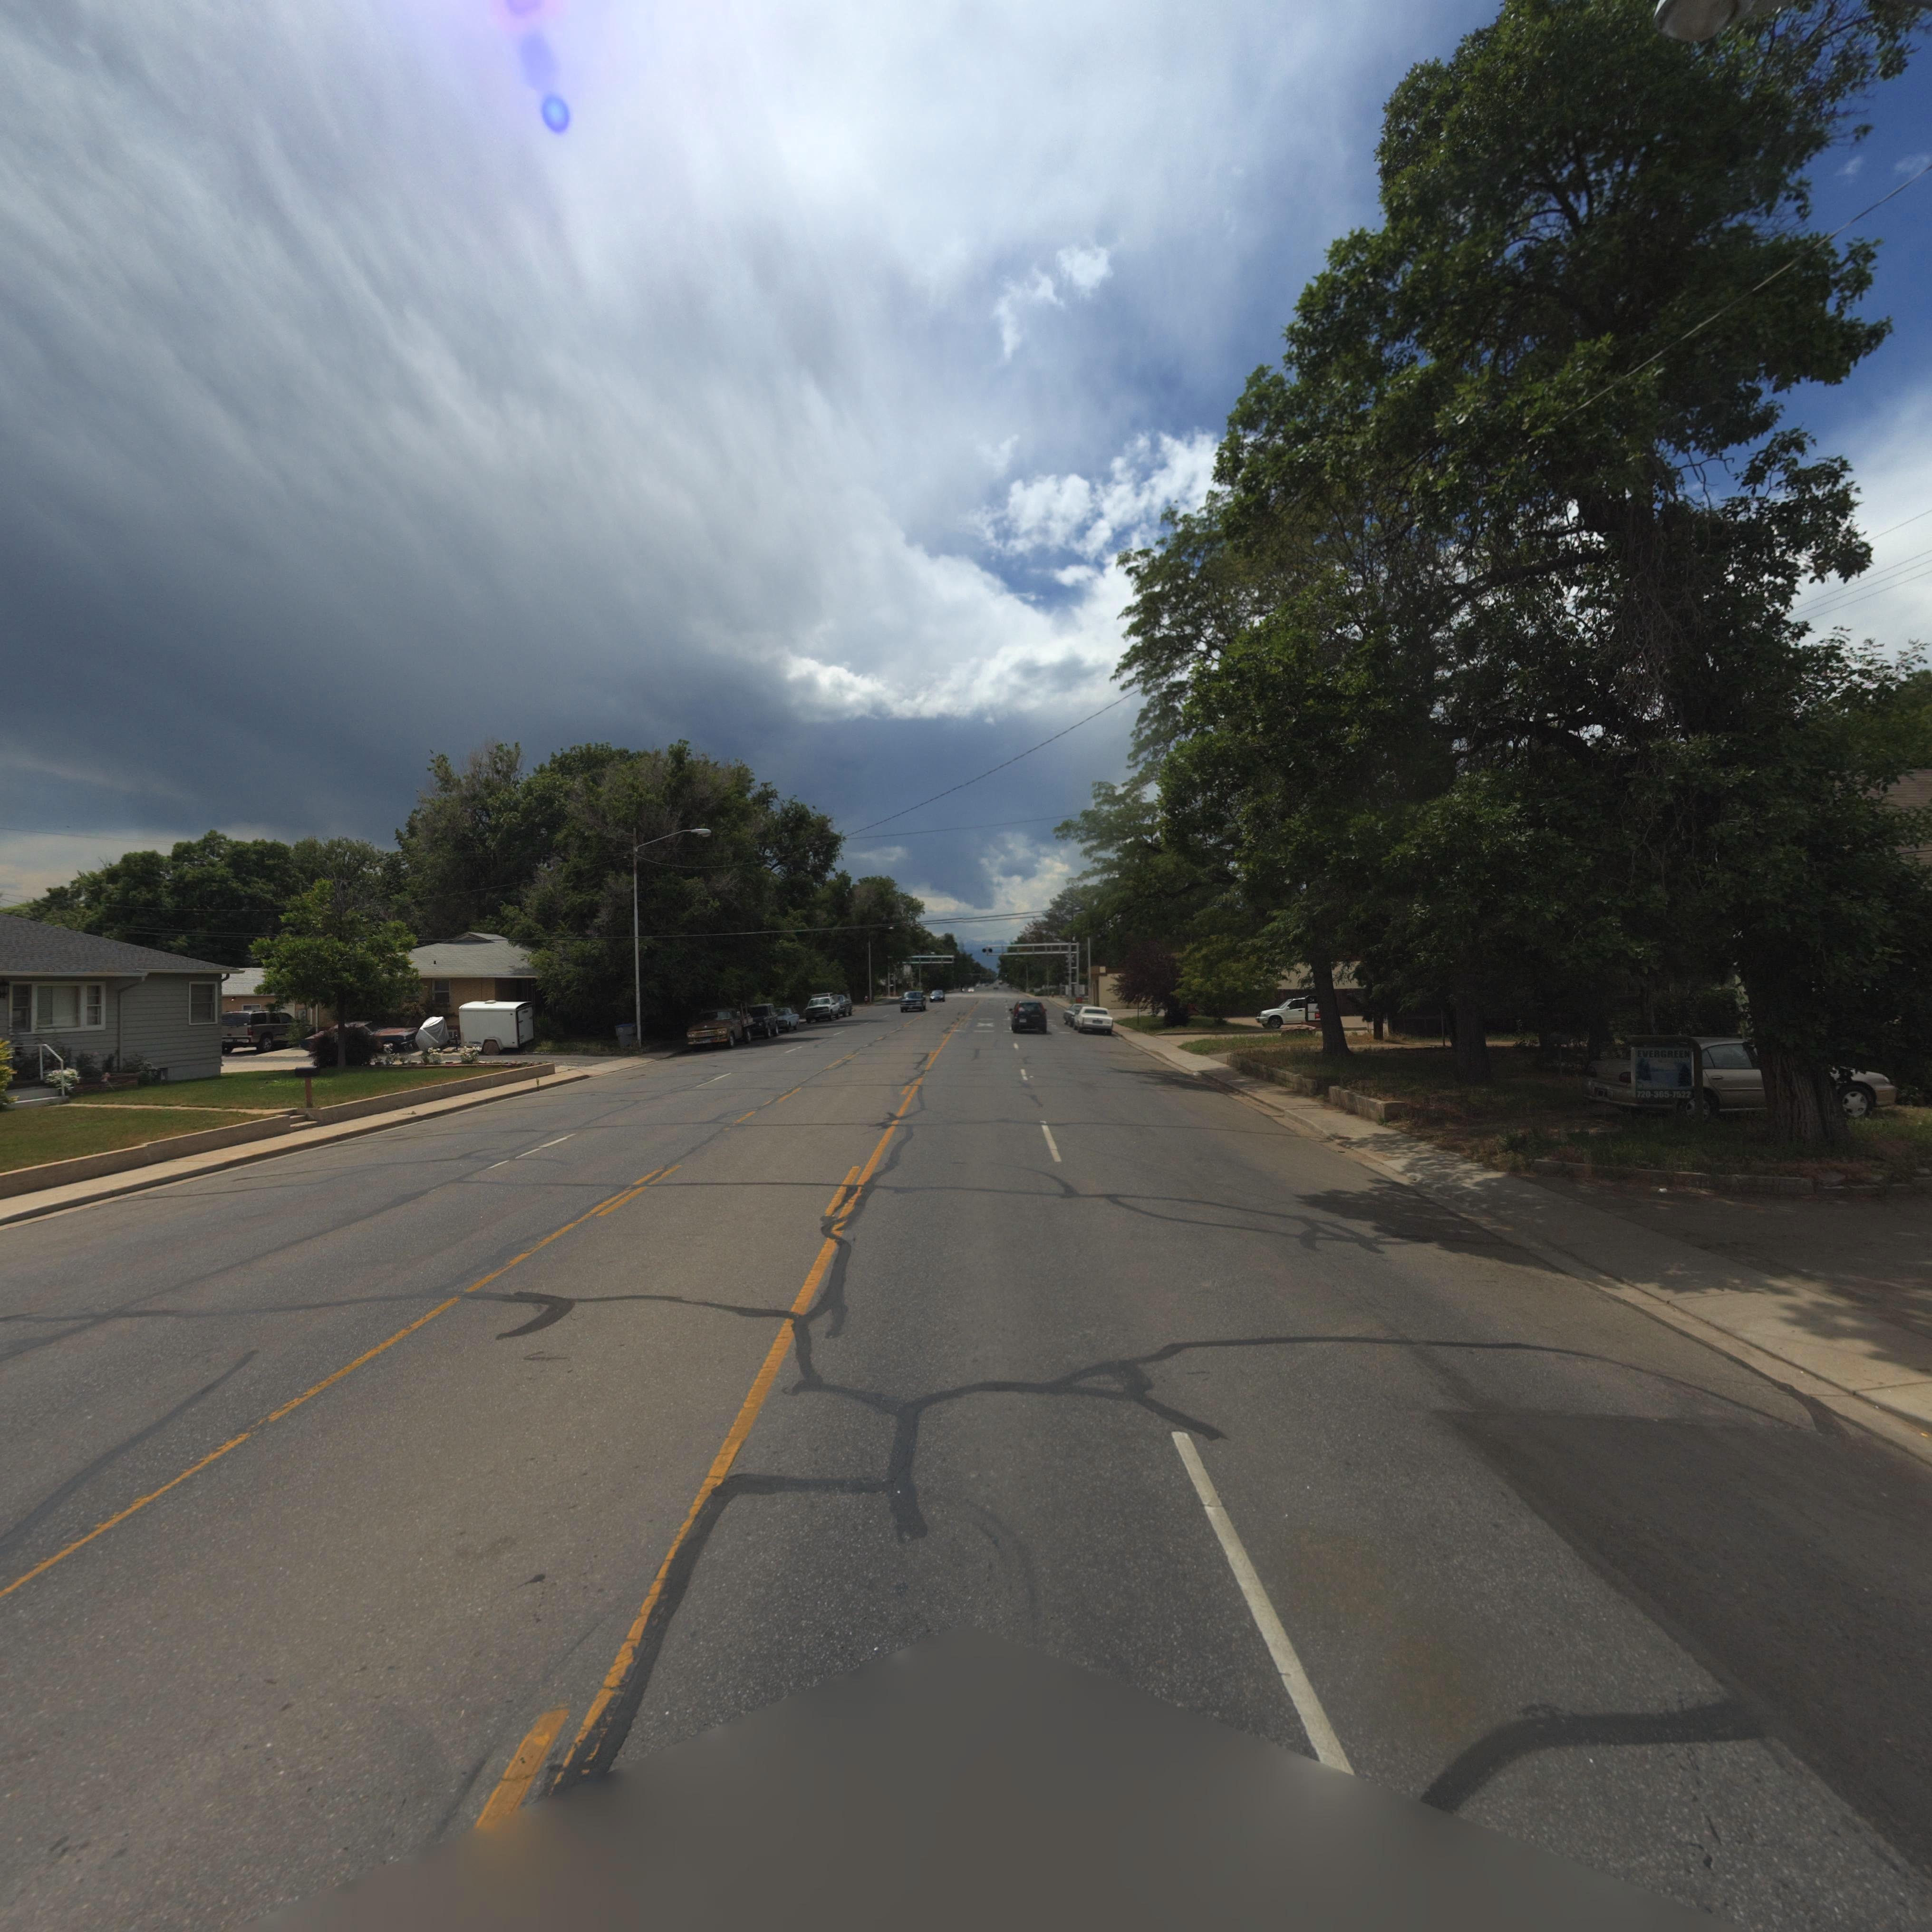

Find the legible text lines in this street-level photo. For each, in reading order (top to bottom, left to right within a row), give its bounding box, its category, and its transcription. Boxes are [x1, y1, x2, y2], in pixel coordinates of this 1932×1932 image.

[1636, 1049, 1690, 1058] BusinessName: EVERGREEN